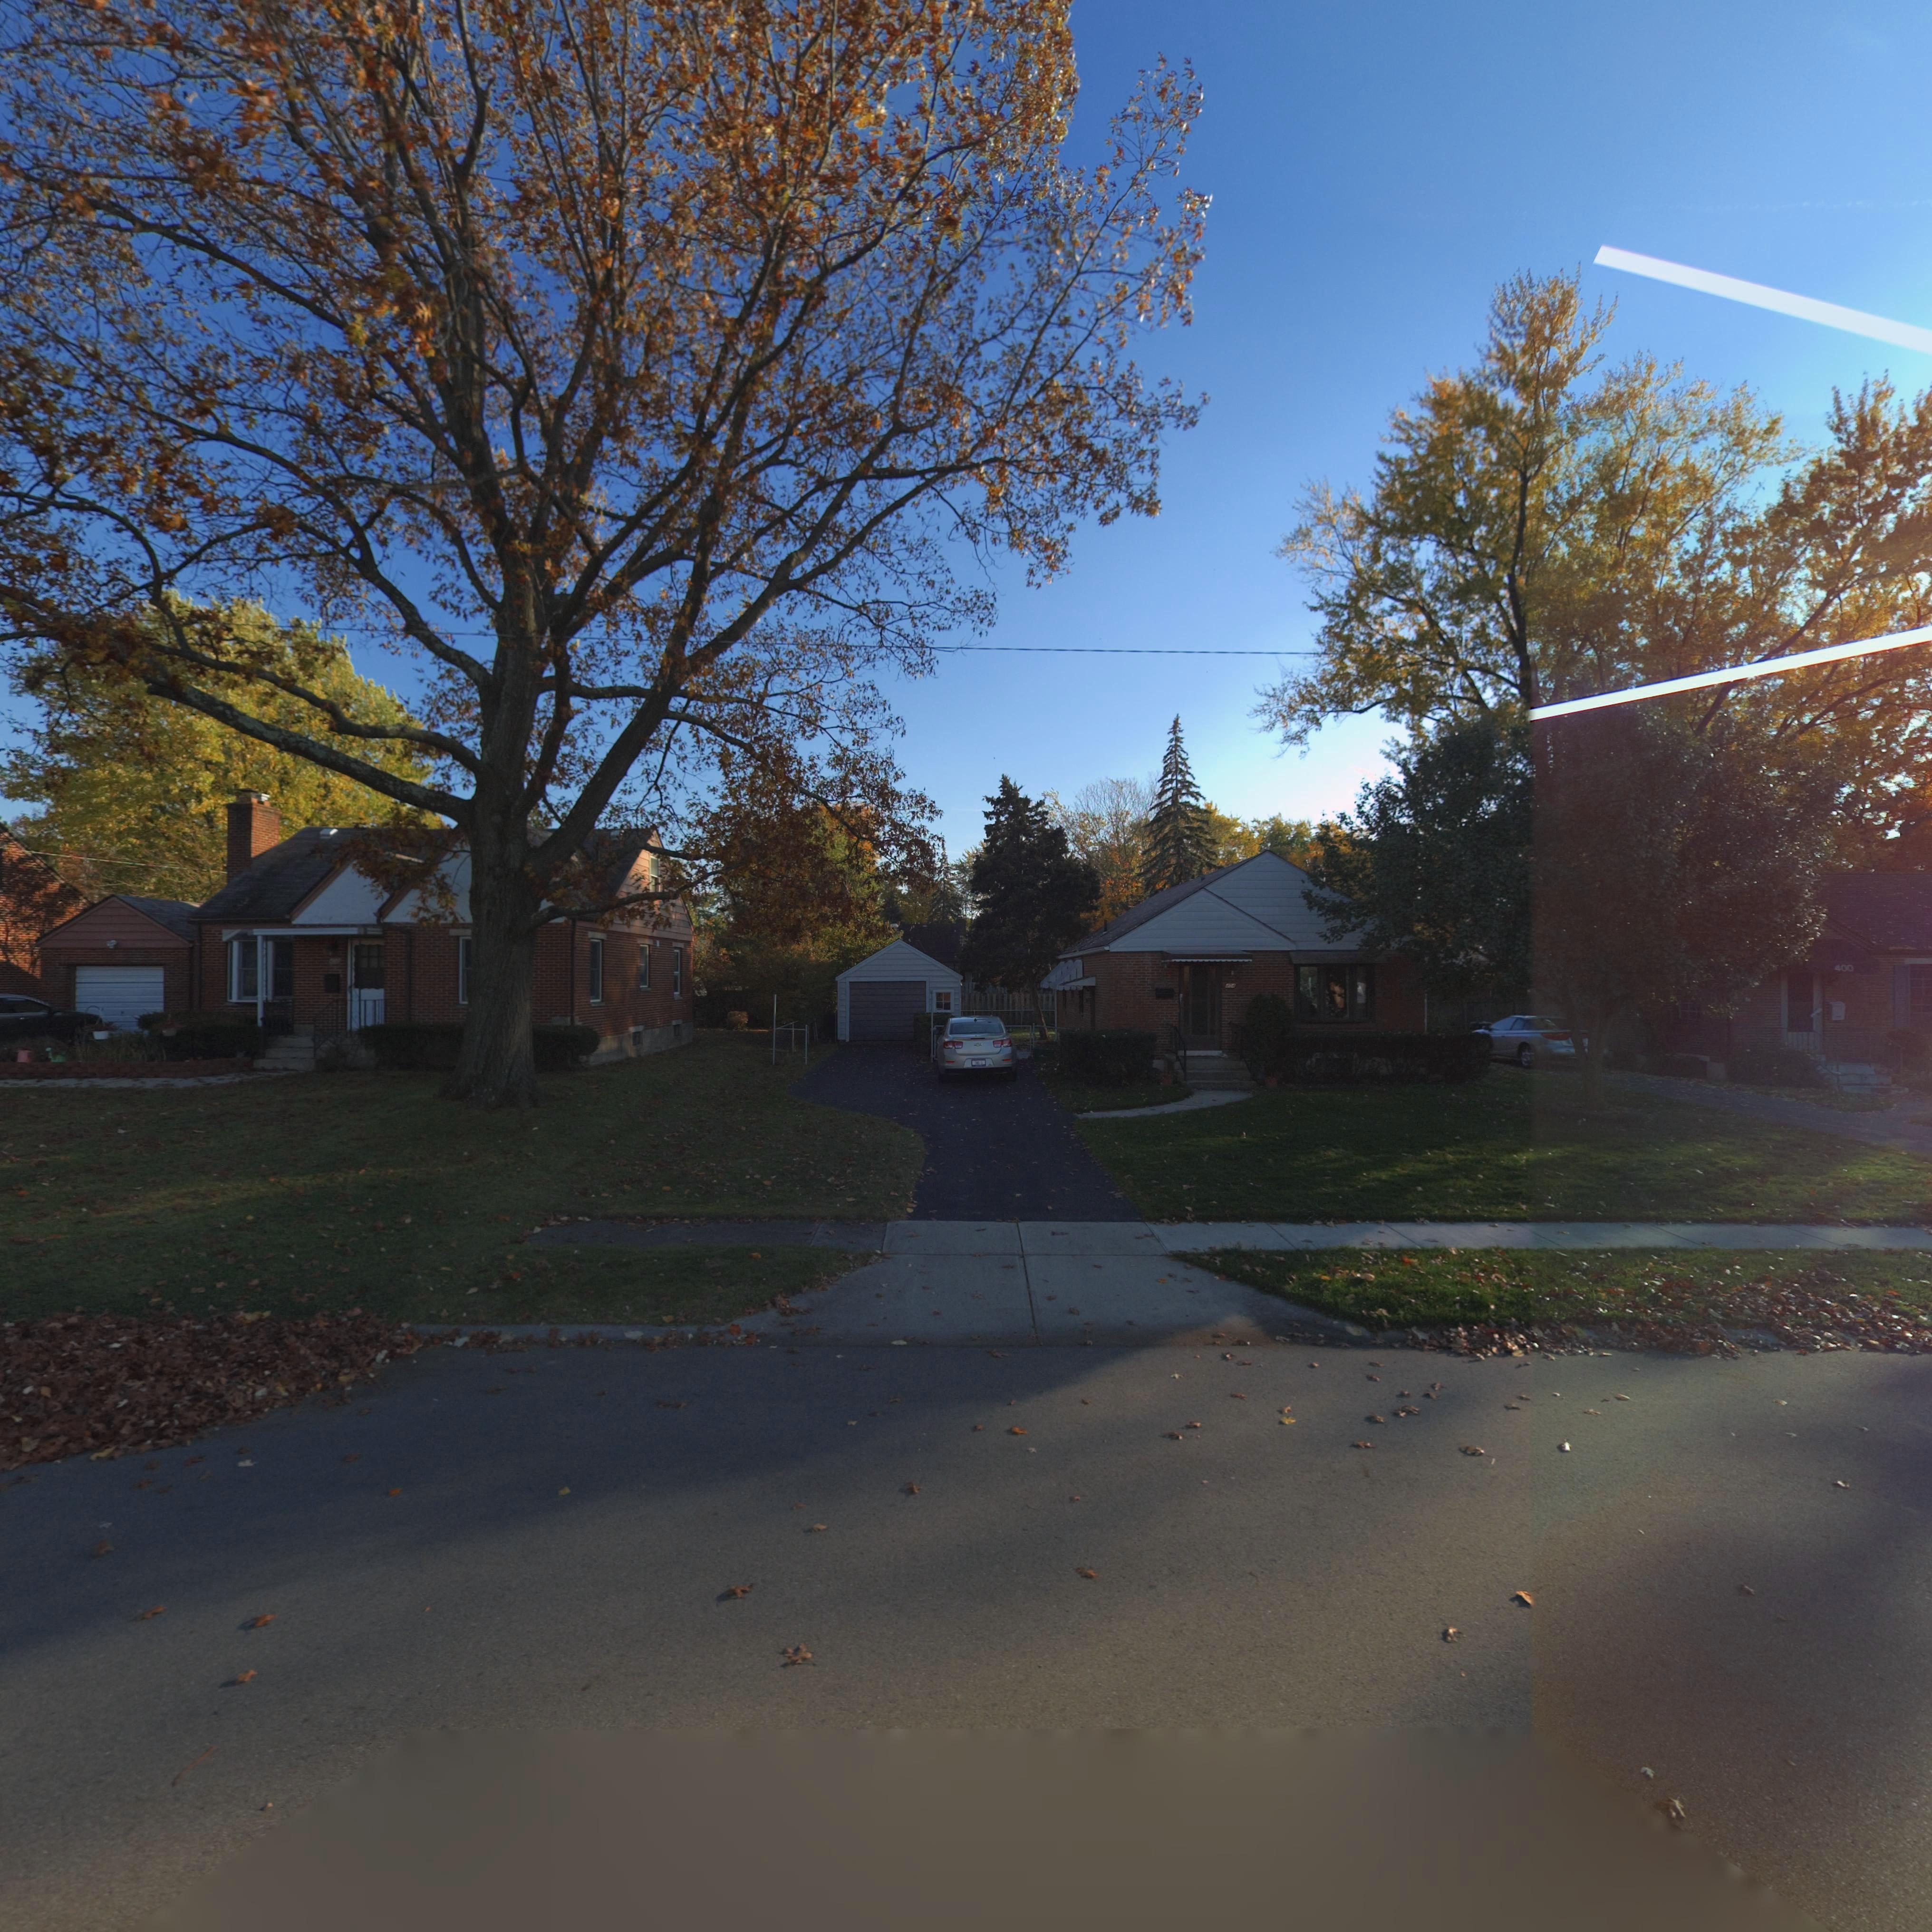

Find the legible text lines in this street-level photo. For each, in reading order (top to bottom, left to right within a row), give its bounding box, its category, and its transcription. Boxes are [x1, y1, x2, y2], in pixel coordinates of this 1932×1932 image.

[1832, 963, 1855, 973] StreetNumber: 400
[1225, 983, 1236, 988] StreetNumber: *0*